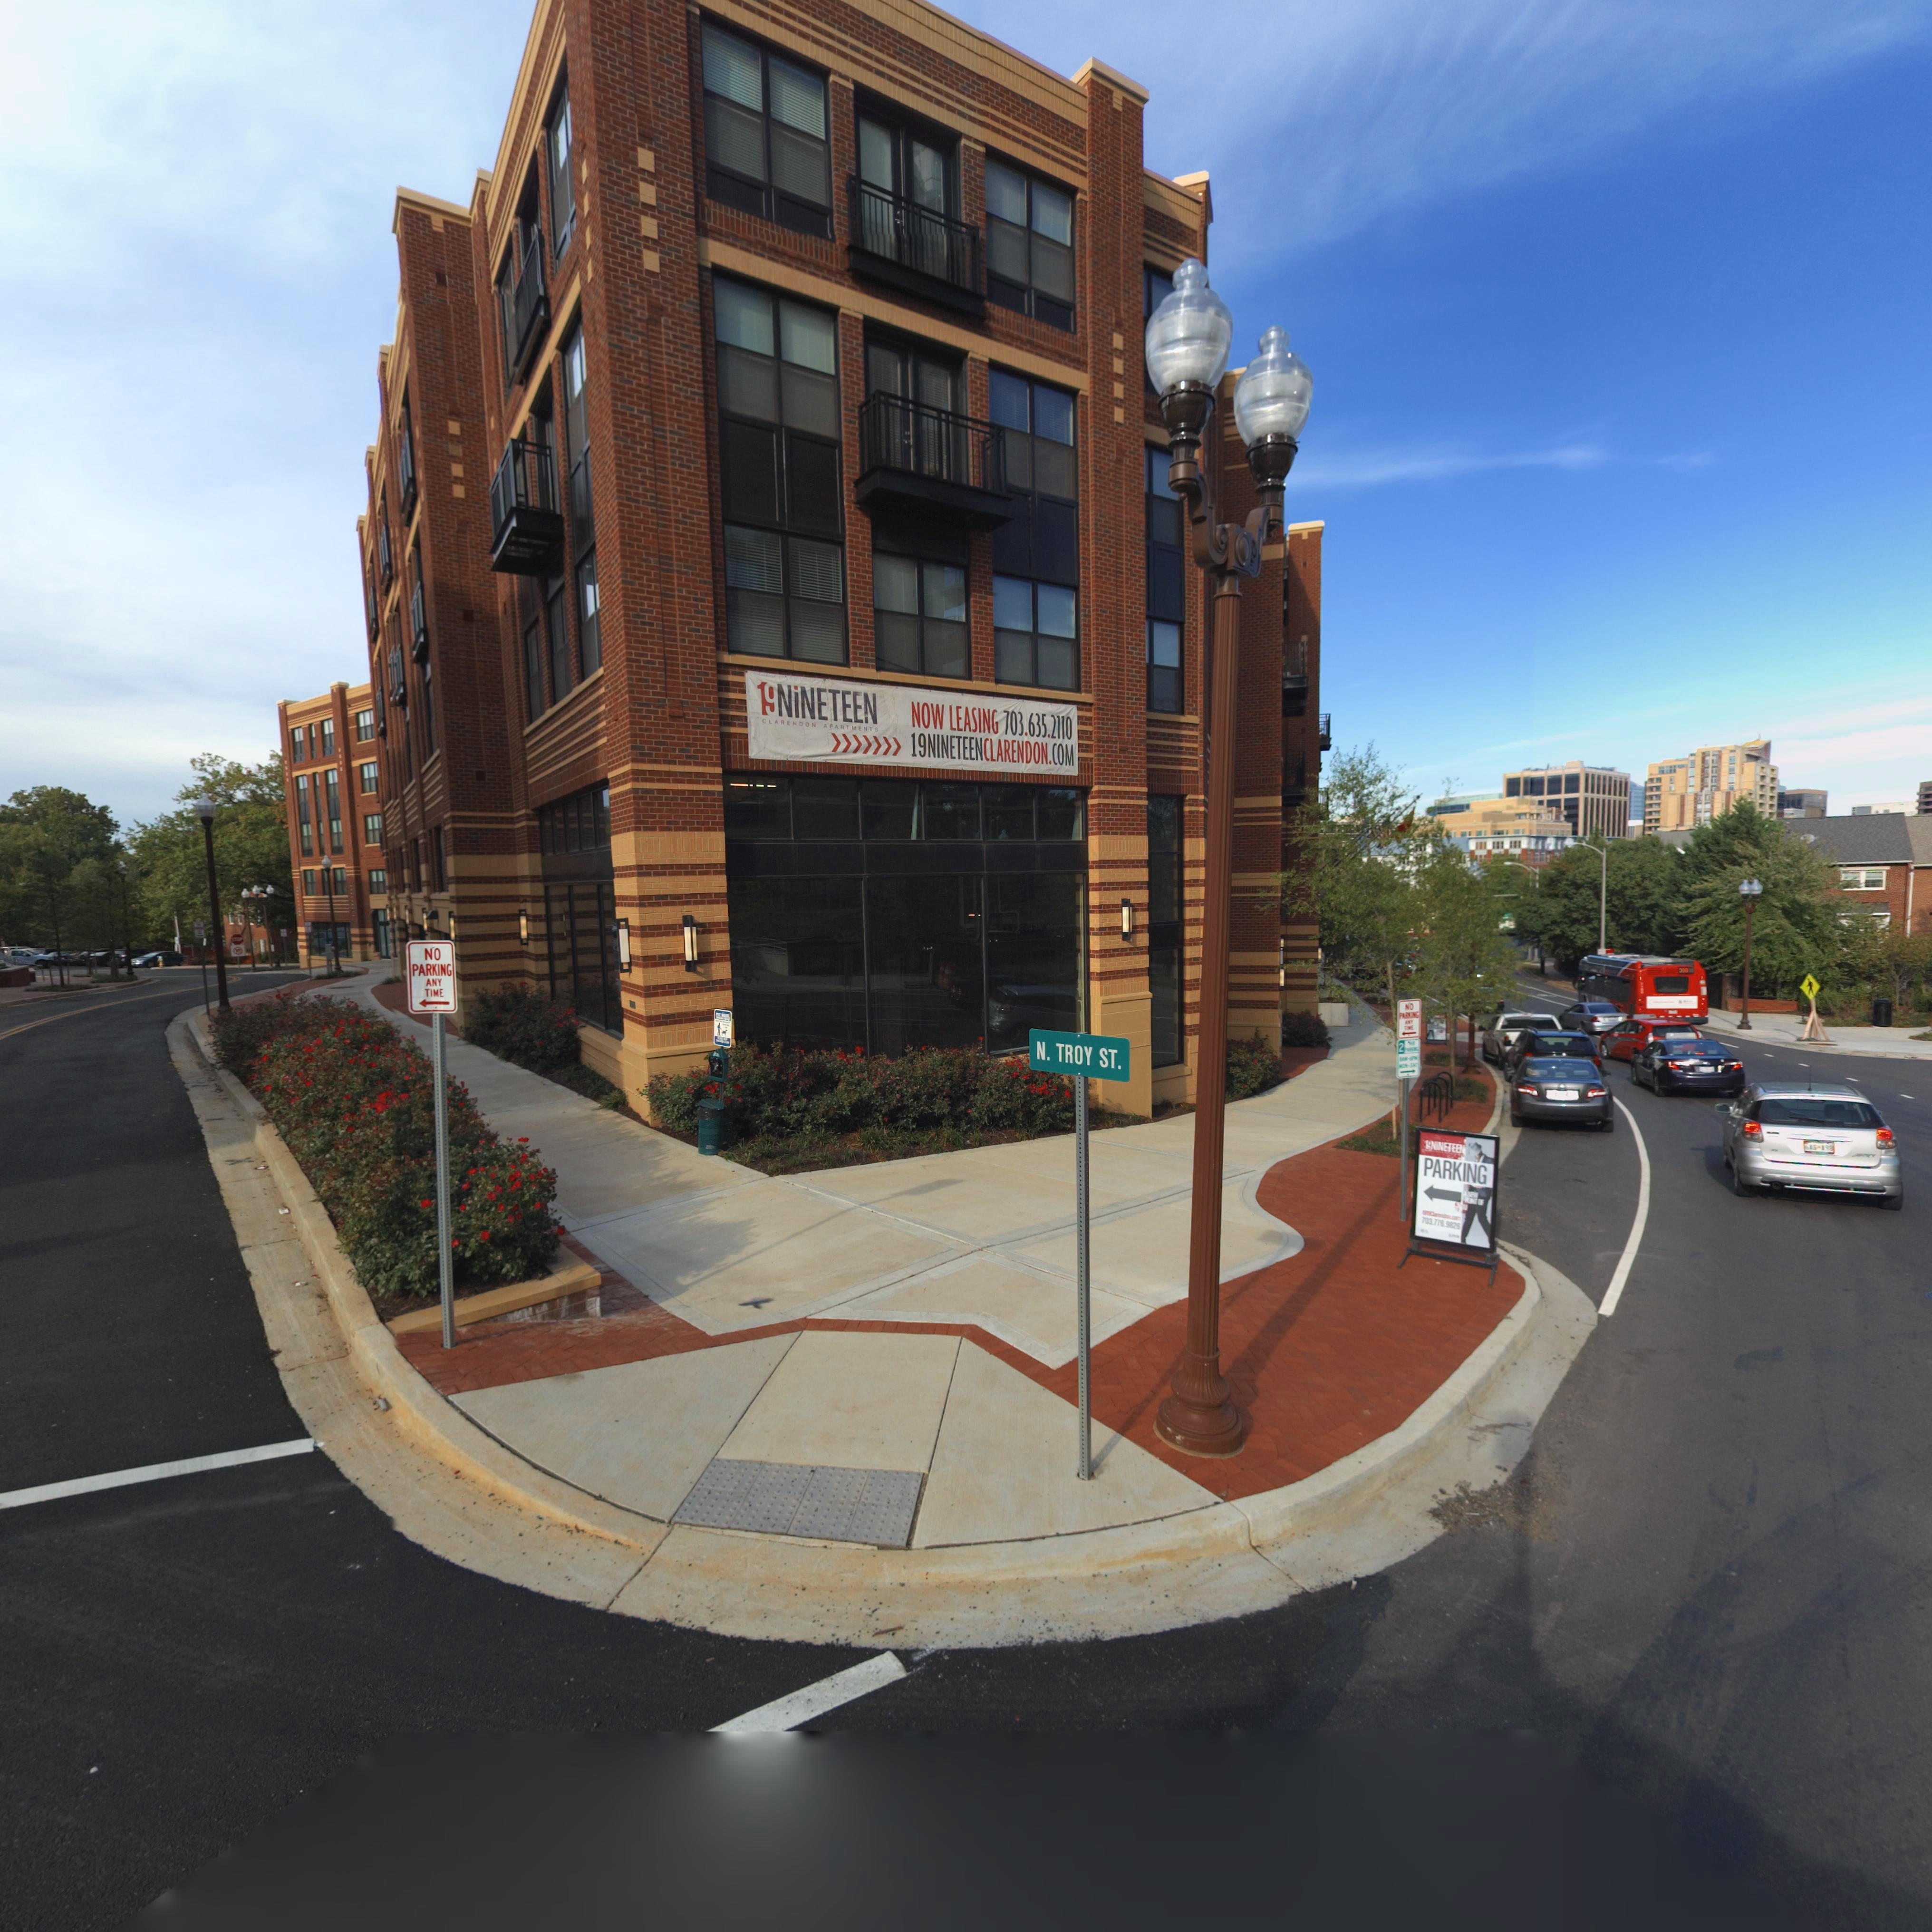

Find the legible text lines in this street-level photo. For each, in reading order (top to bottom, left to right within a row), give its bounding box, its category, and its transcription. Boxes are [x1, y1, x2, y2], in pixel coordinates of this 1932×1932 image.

[776, 681, 879, 726] None: NiNETEEN
[761, 717, 879, 733] None: CLARENDON APARTMENTS
[909, 699, 1075, 742] None: NOW LEASING 703.635.2110
[910, 730, 1075, 768] None: 19NINETEENCLARENDON.COM
[423, 947, 442, 962] None: NO
[411, 962, 453, 978] None: PARKING
[425, 976, 443, 987] None: ANY
[423, 987, 445, 999] None: TIME
[1404, 1002, 1415, 1011] None: NO
[1035, 1038, 1123, 1072] StreetName: N. TROY ST.
[1397, 1041, 1405, 1053] None: 2
[1430, 1139, 1467, 1156] None: NiNETEEN
[1422, 1155, 1489, 1187] None: PARKING